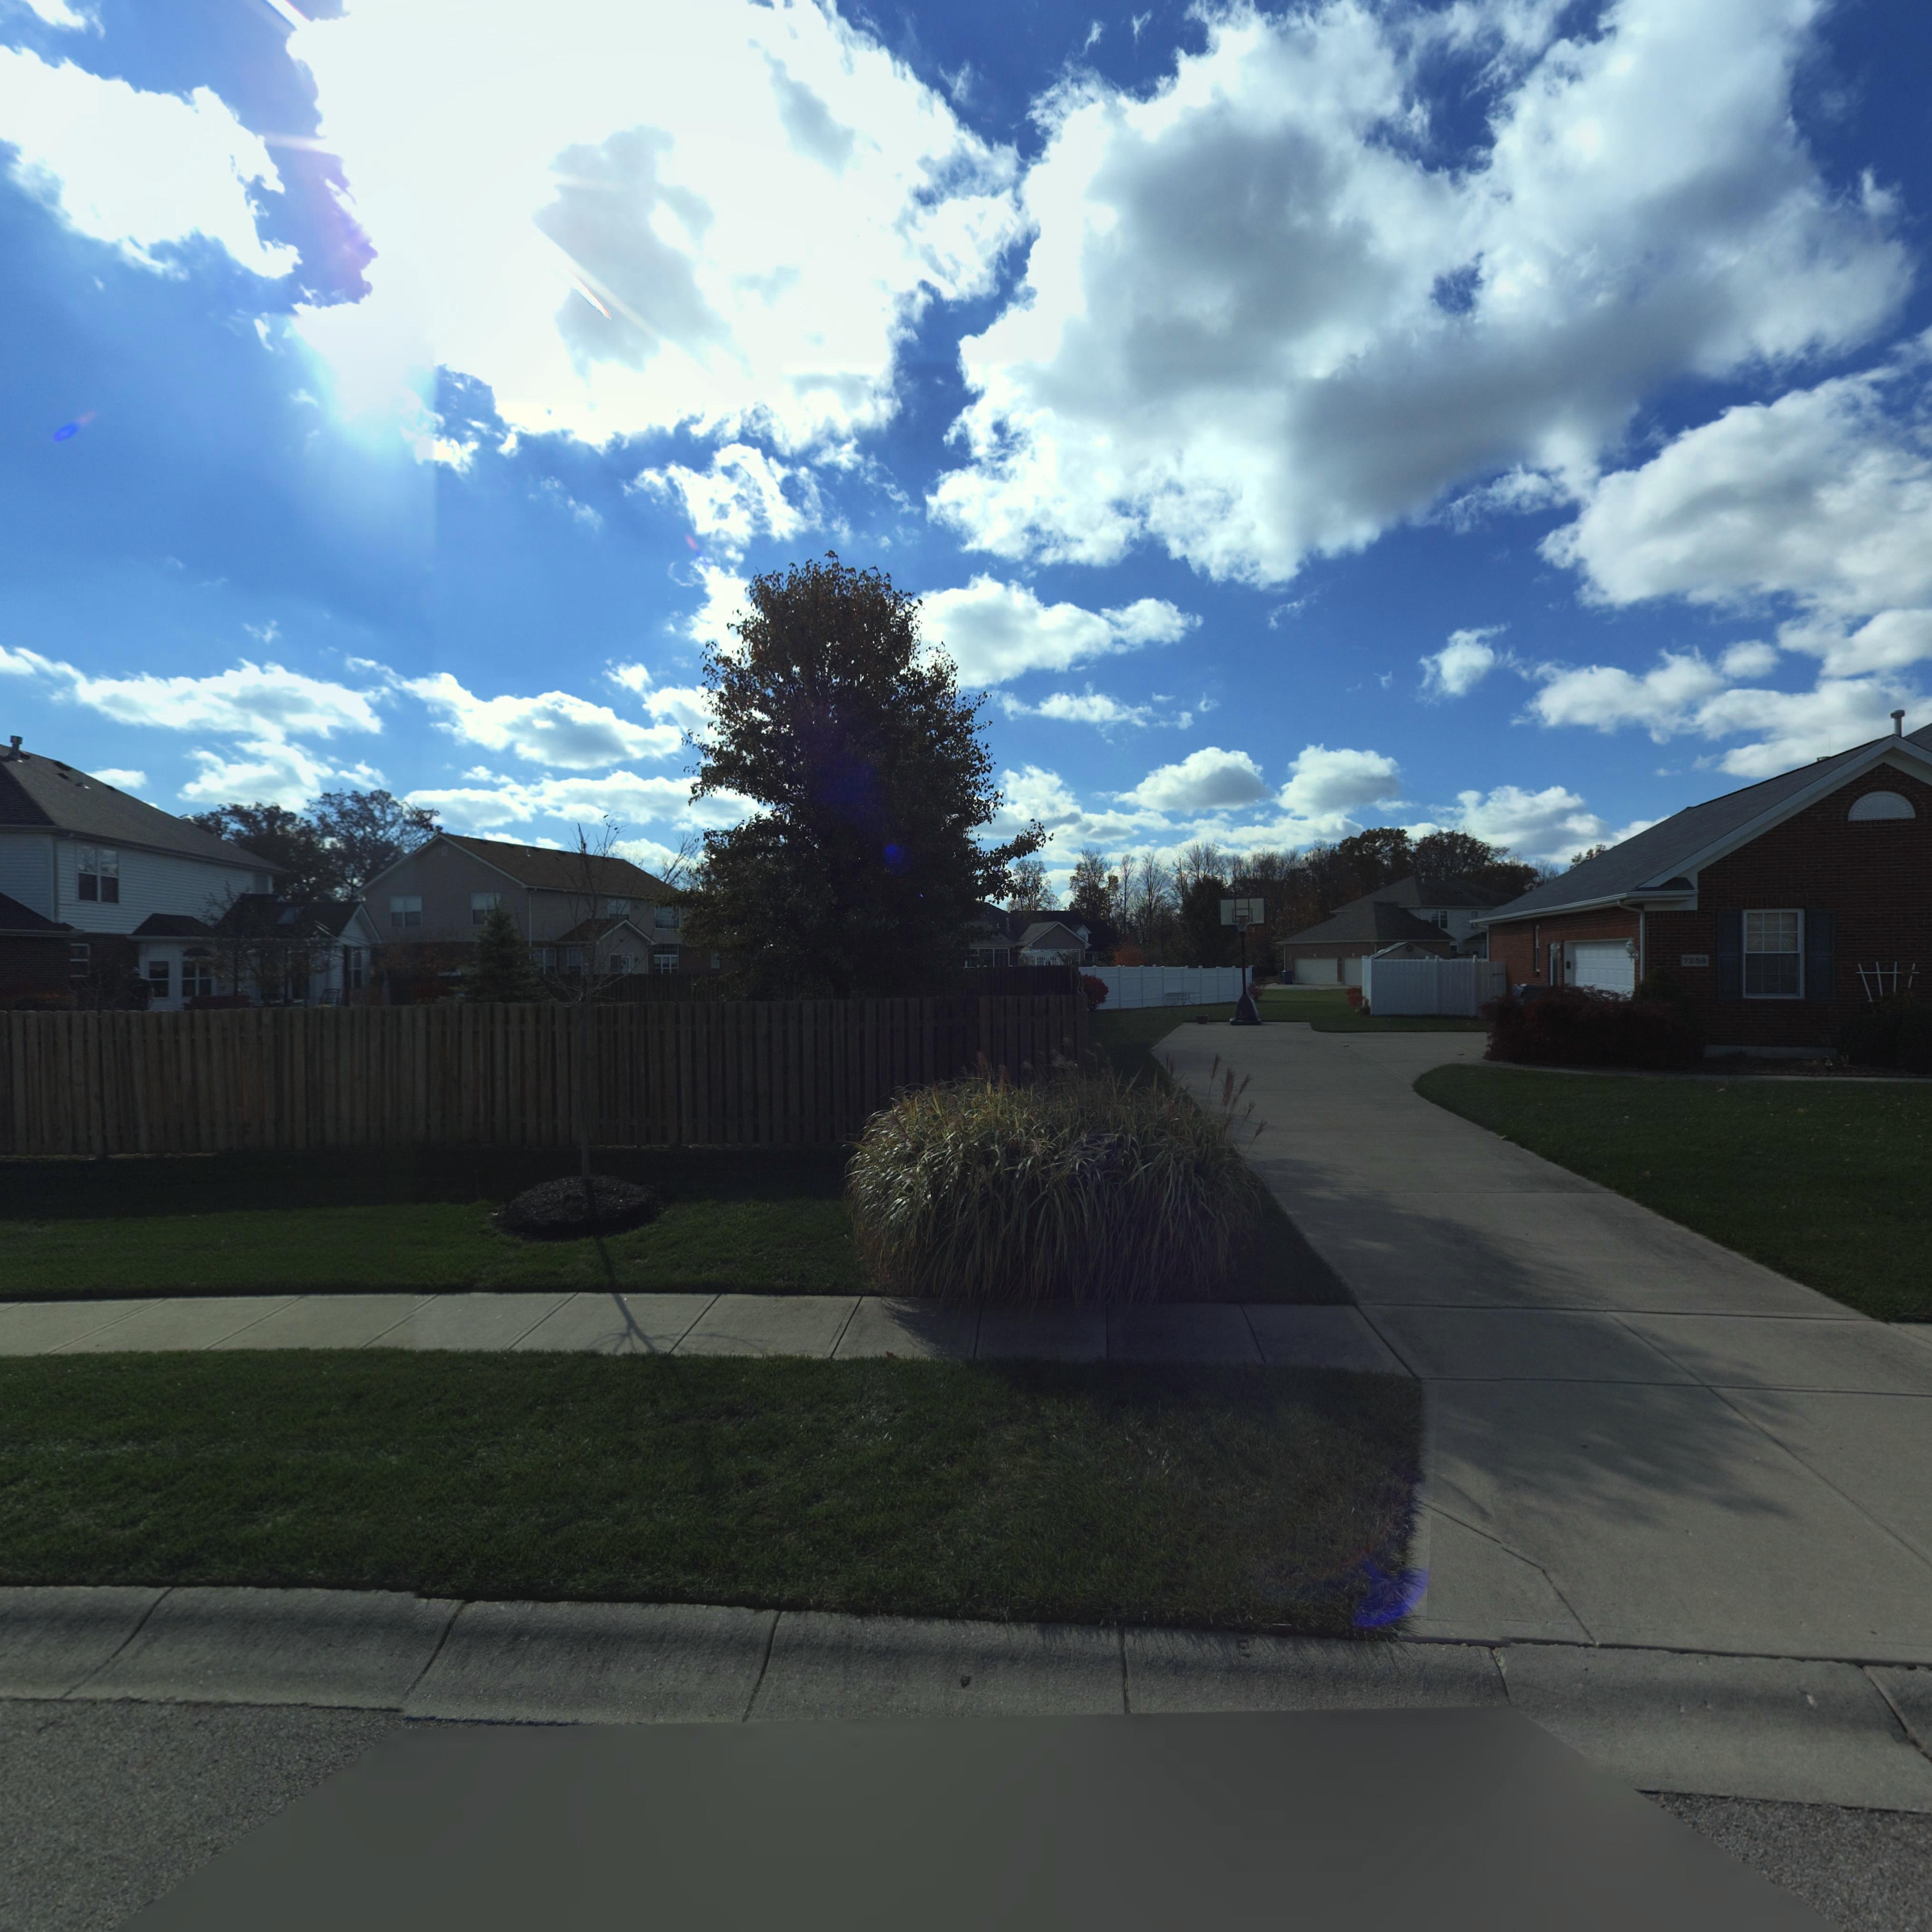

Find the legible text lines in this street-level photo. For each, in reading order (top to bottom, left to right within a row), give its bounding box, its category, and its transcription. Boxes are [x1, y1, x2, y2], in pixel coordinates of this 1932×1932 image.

[1682, 957, 1707, 964] StreetNumber: 7256